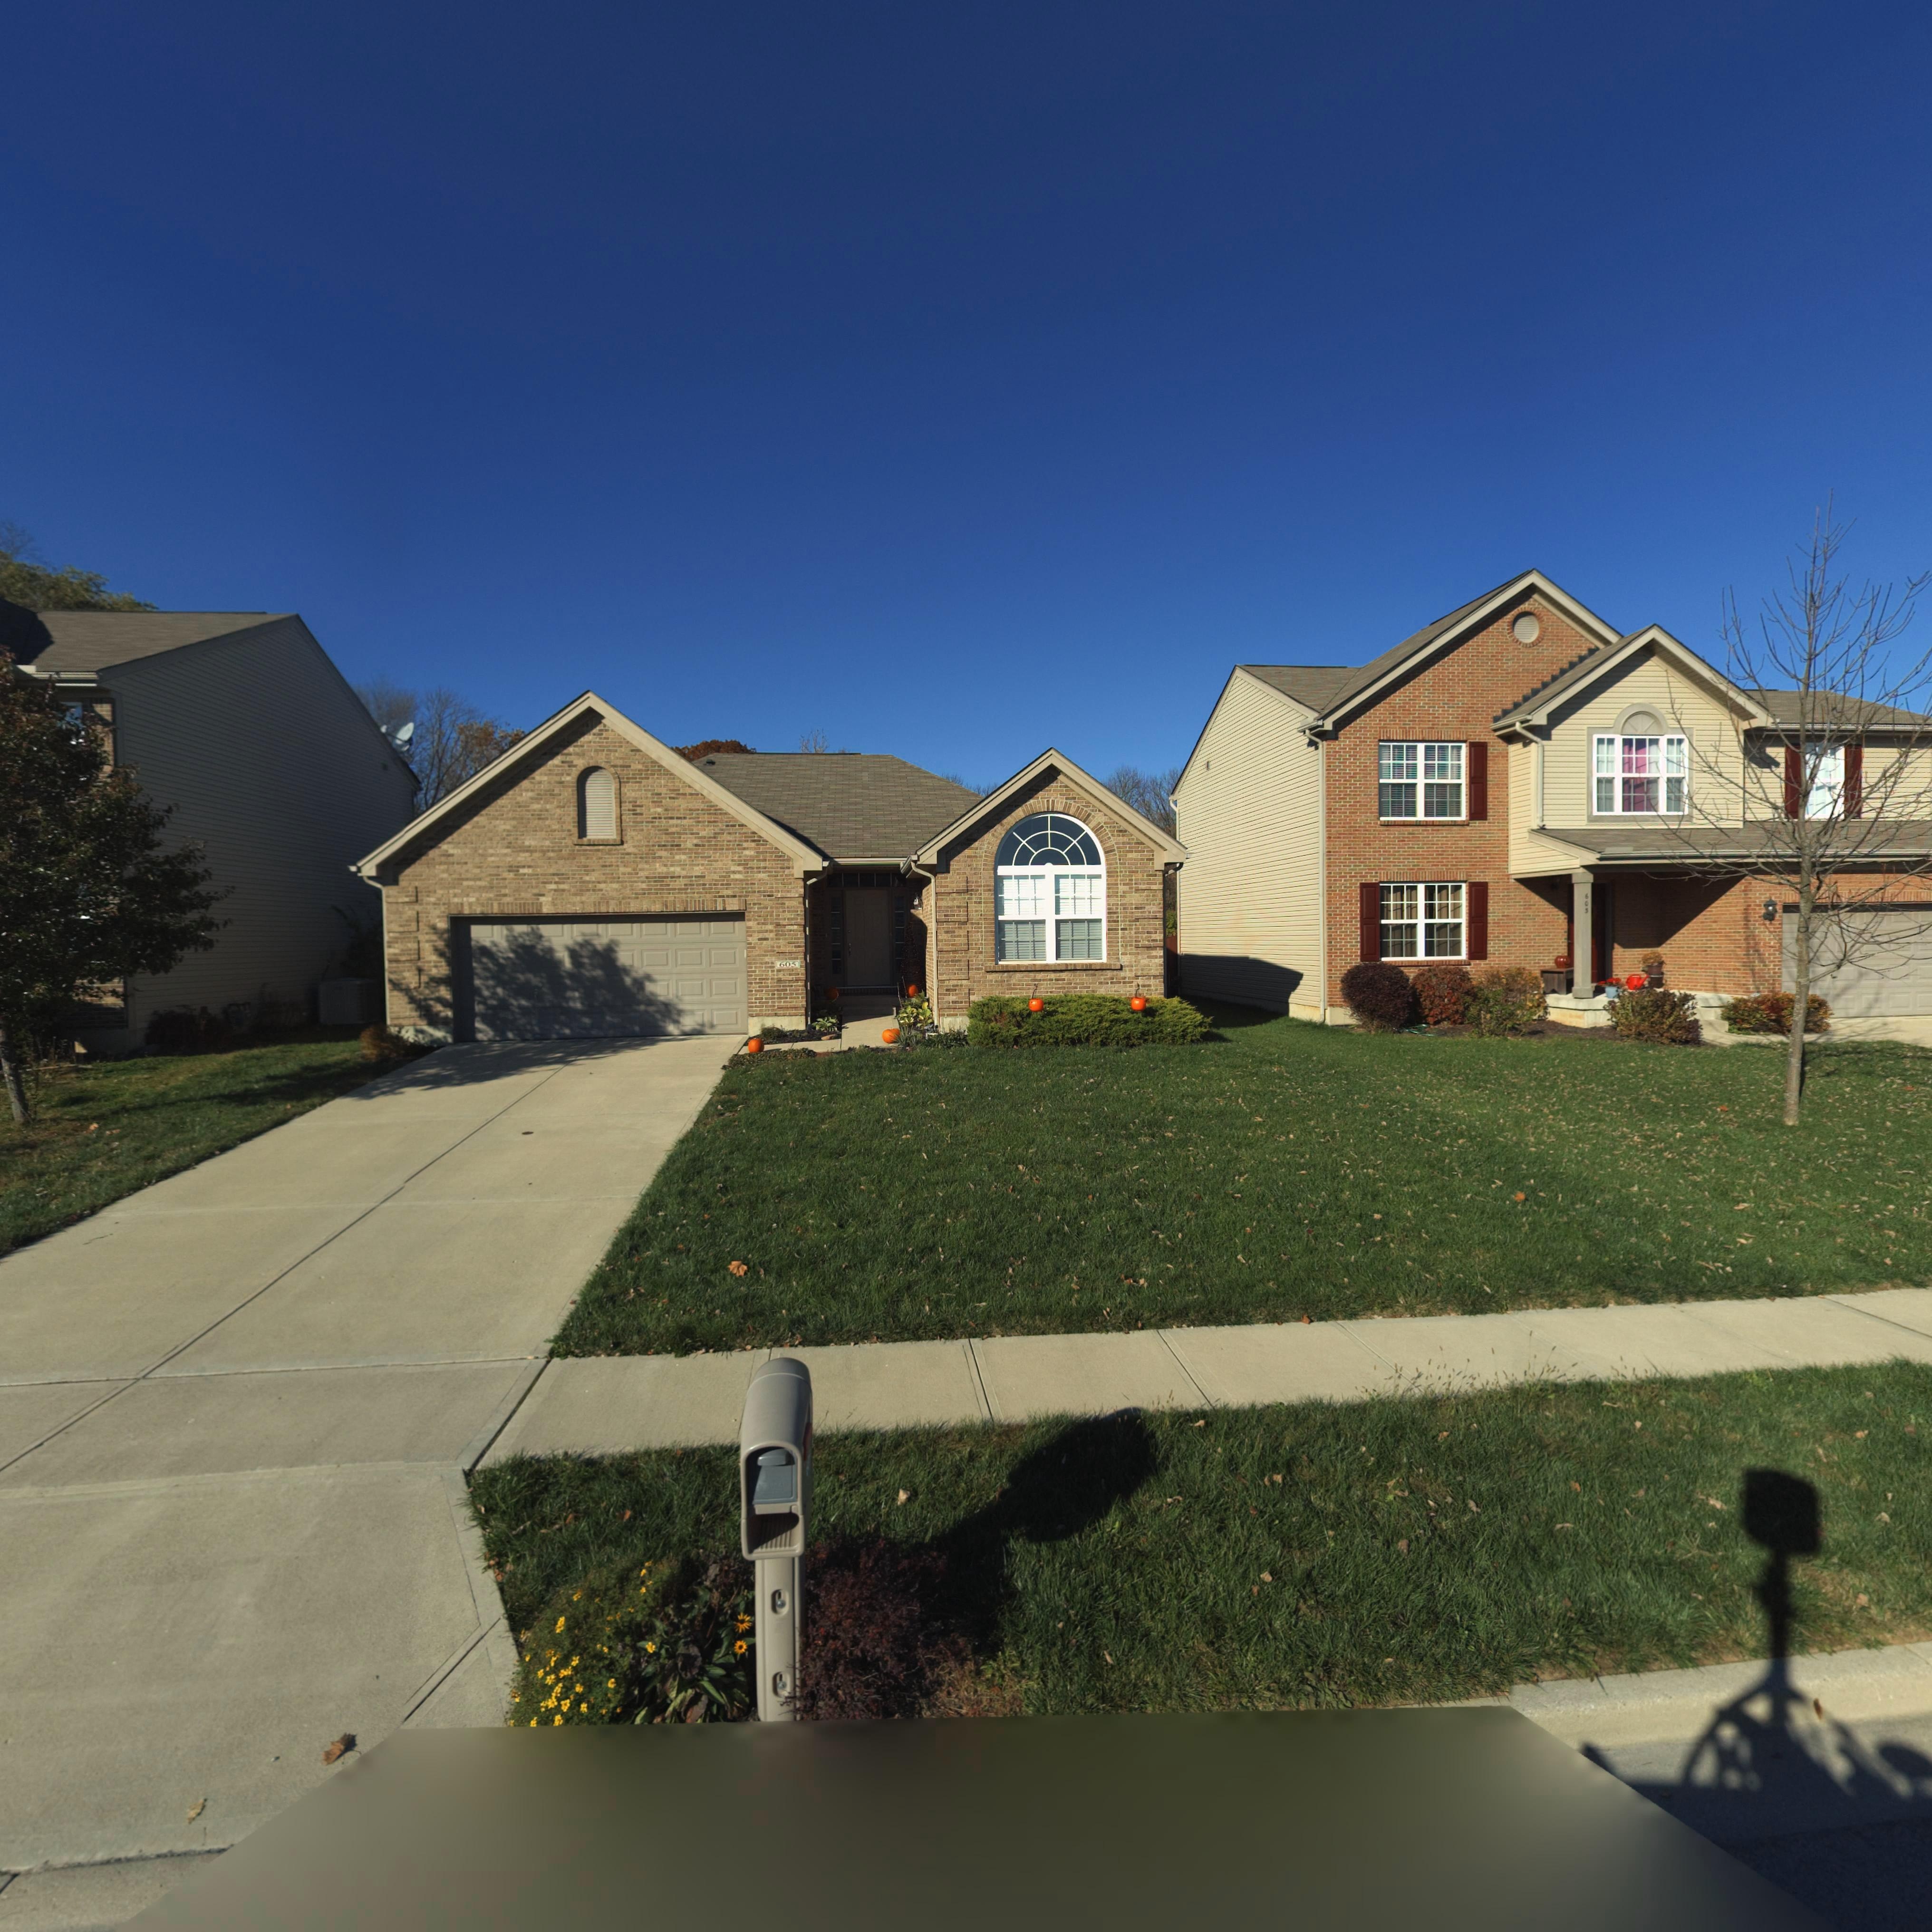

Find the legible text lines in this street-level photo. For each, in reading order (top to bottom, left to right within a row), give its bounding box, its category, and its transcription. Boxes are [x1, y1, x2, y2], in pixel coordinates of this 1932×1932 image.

[1584, 893, 1589, 914] StreetNumber: 603
[779, 961, 796, 968] StreetNumber: 605